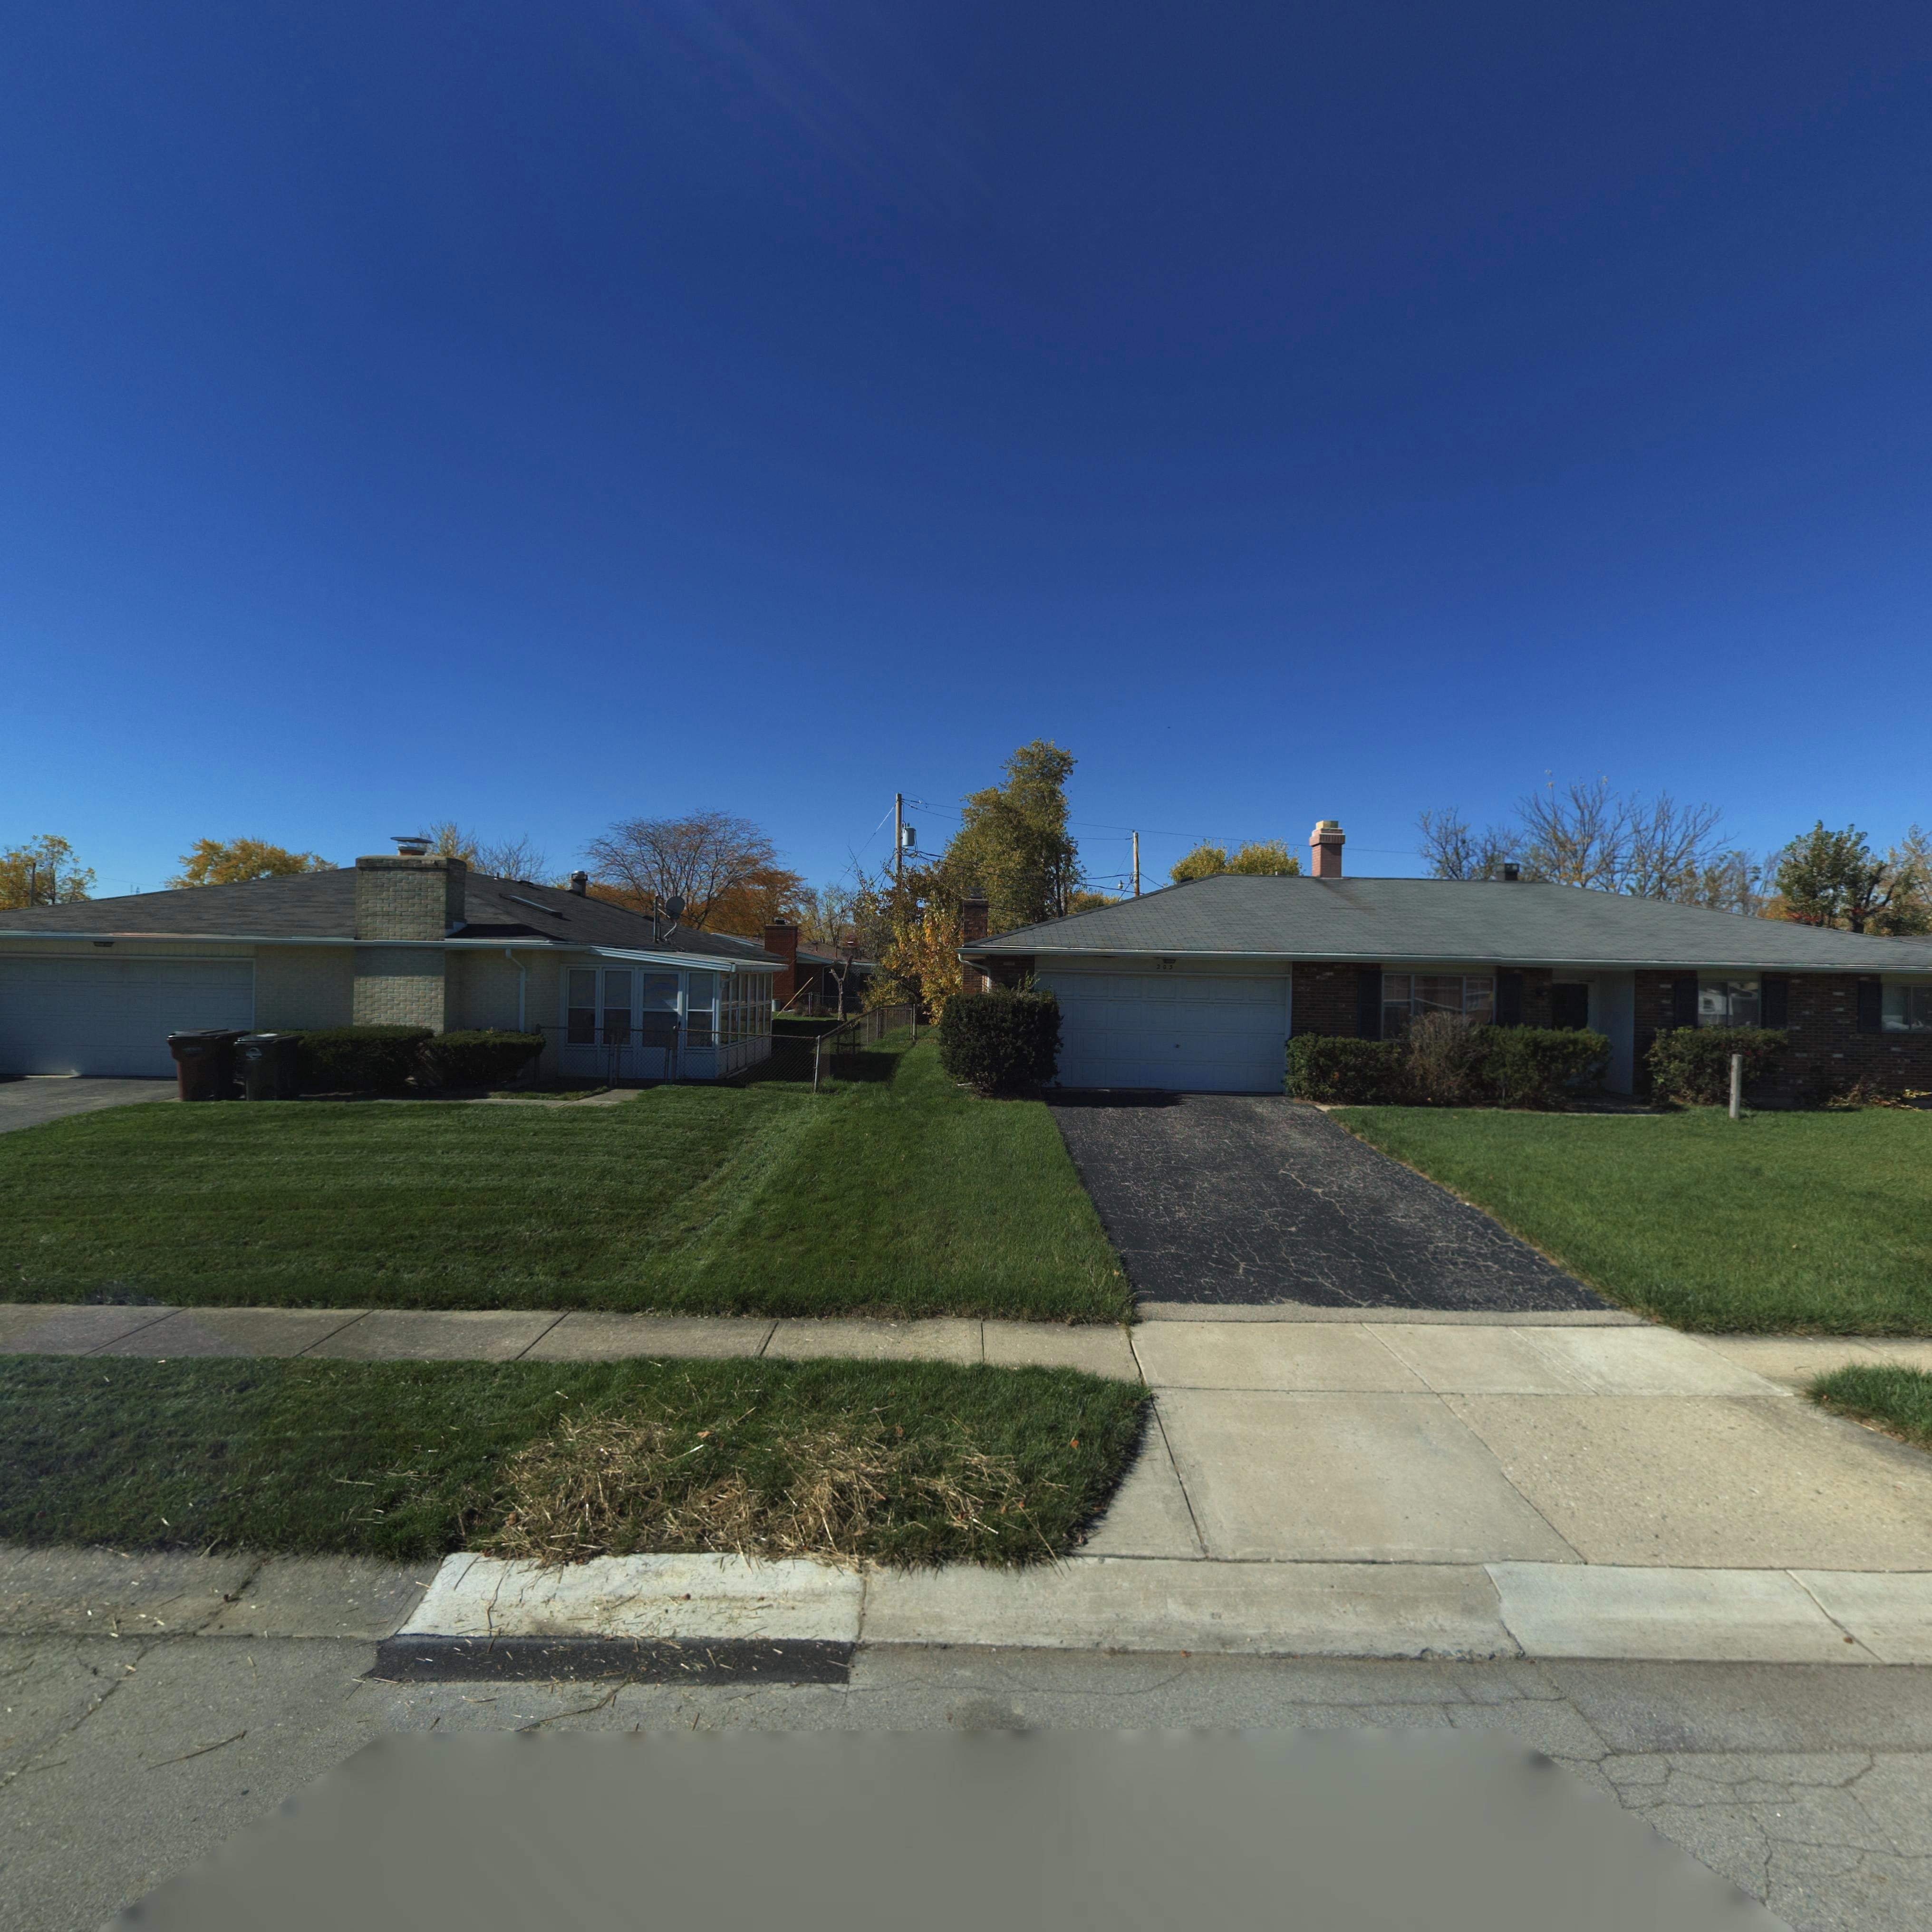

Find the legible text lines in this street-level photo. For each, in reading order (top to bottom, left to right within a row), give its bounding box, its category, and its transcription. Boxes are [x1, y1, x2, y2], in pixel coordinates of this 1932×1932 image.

[1156, 964, 1173, 970] StreetNumber: 203